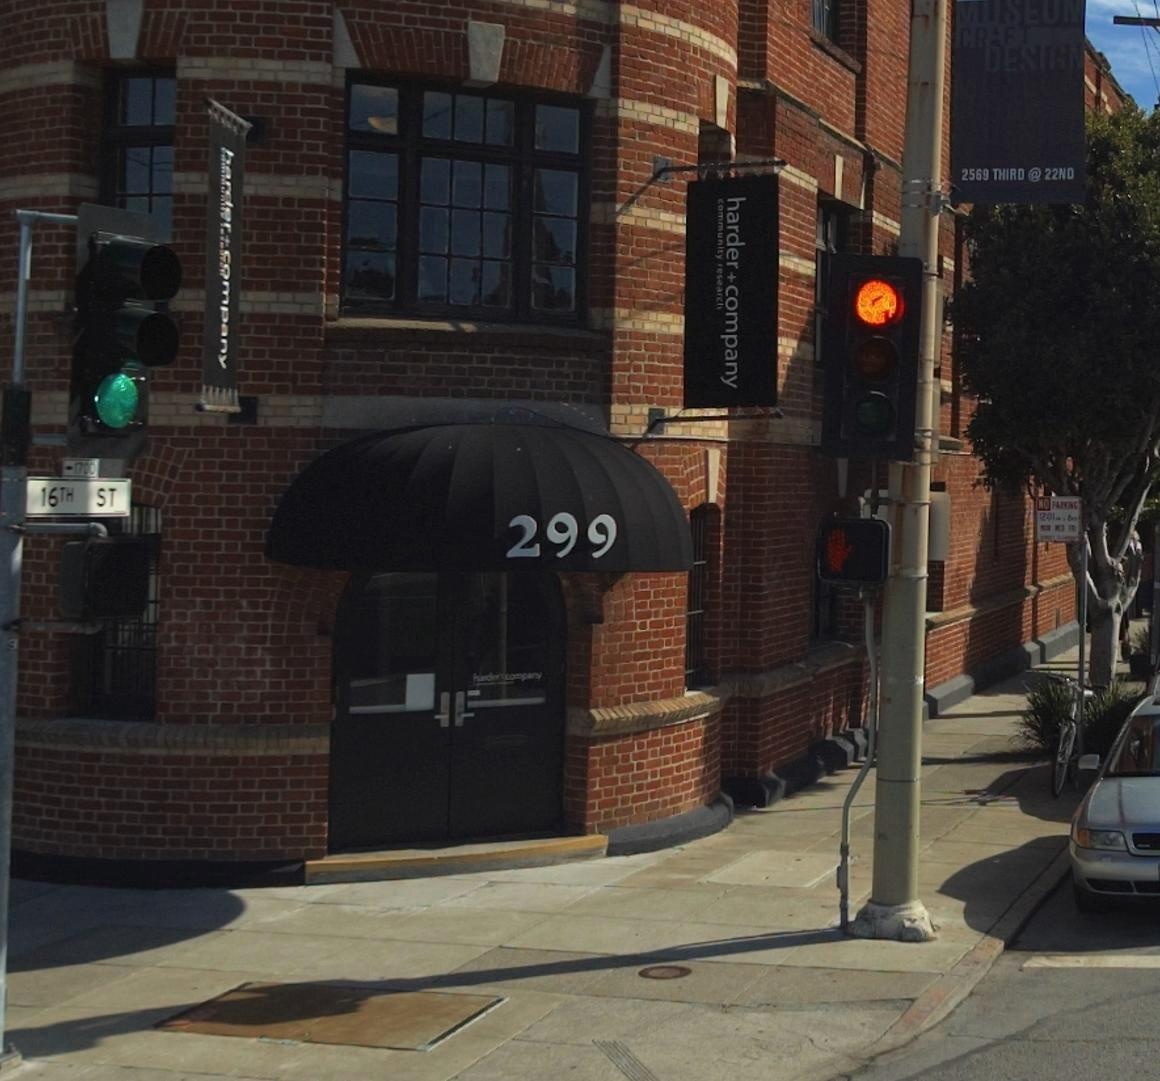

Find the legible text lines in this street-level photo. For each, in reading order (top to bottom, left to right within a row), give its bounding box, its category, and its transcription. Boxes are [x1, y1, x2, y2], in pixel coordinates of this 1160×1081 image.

[982, 39, 1086, 75] None: DESIGN
[958, 164, 1077, 184] None: 2569 THIRD * 22ND
[712, 196, 727, 311] None: community research
[717, 195, 748, 390] BusinessName: harder + company
[62, 460, 98, 476] StreetNumberRange: <-1700
[38, 485, 119, 510] StreetName: 16TH ST
[1035, 496, 1050, 511] None: NO
[1038, 510, 1057, 523] None: 12:01
[503, 509, 620, 561] StreetNumber: 299